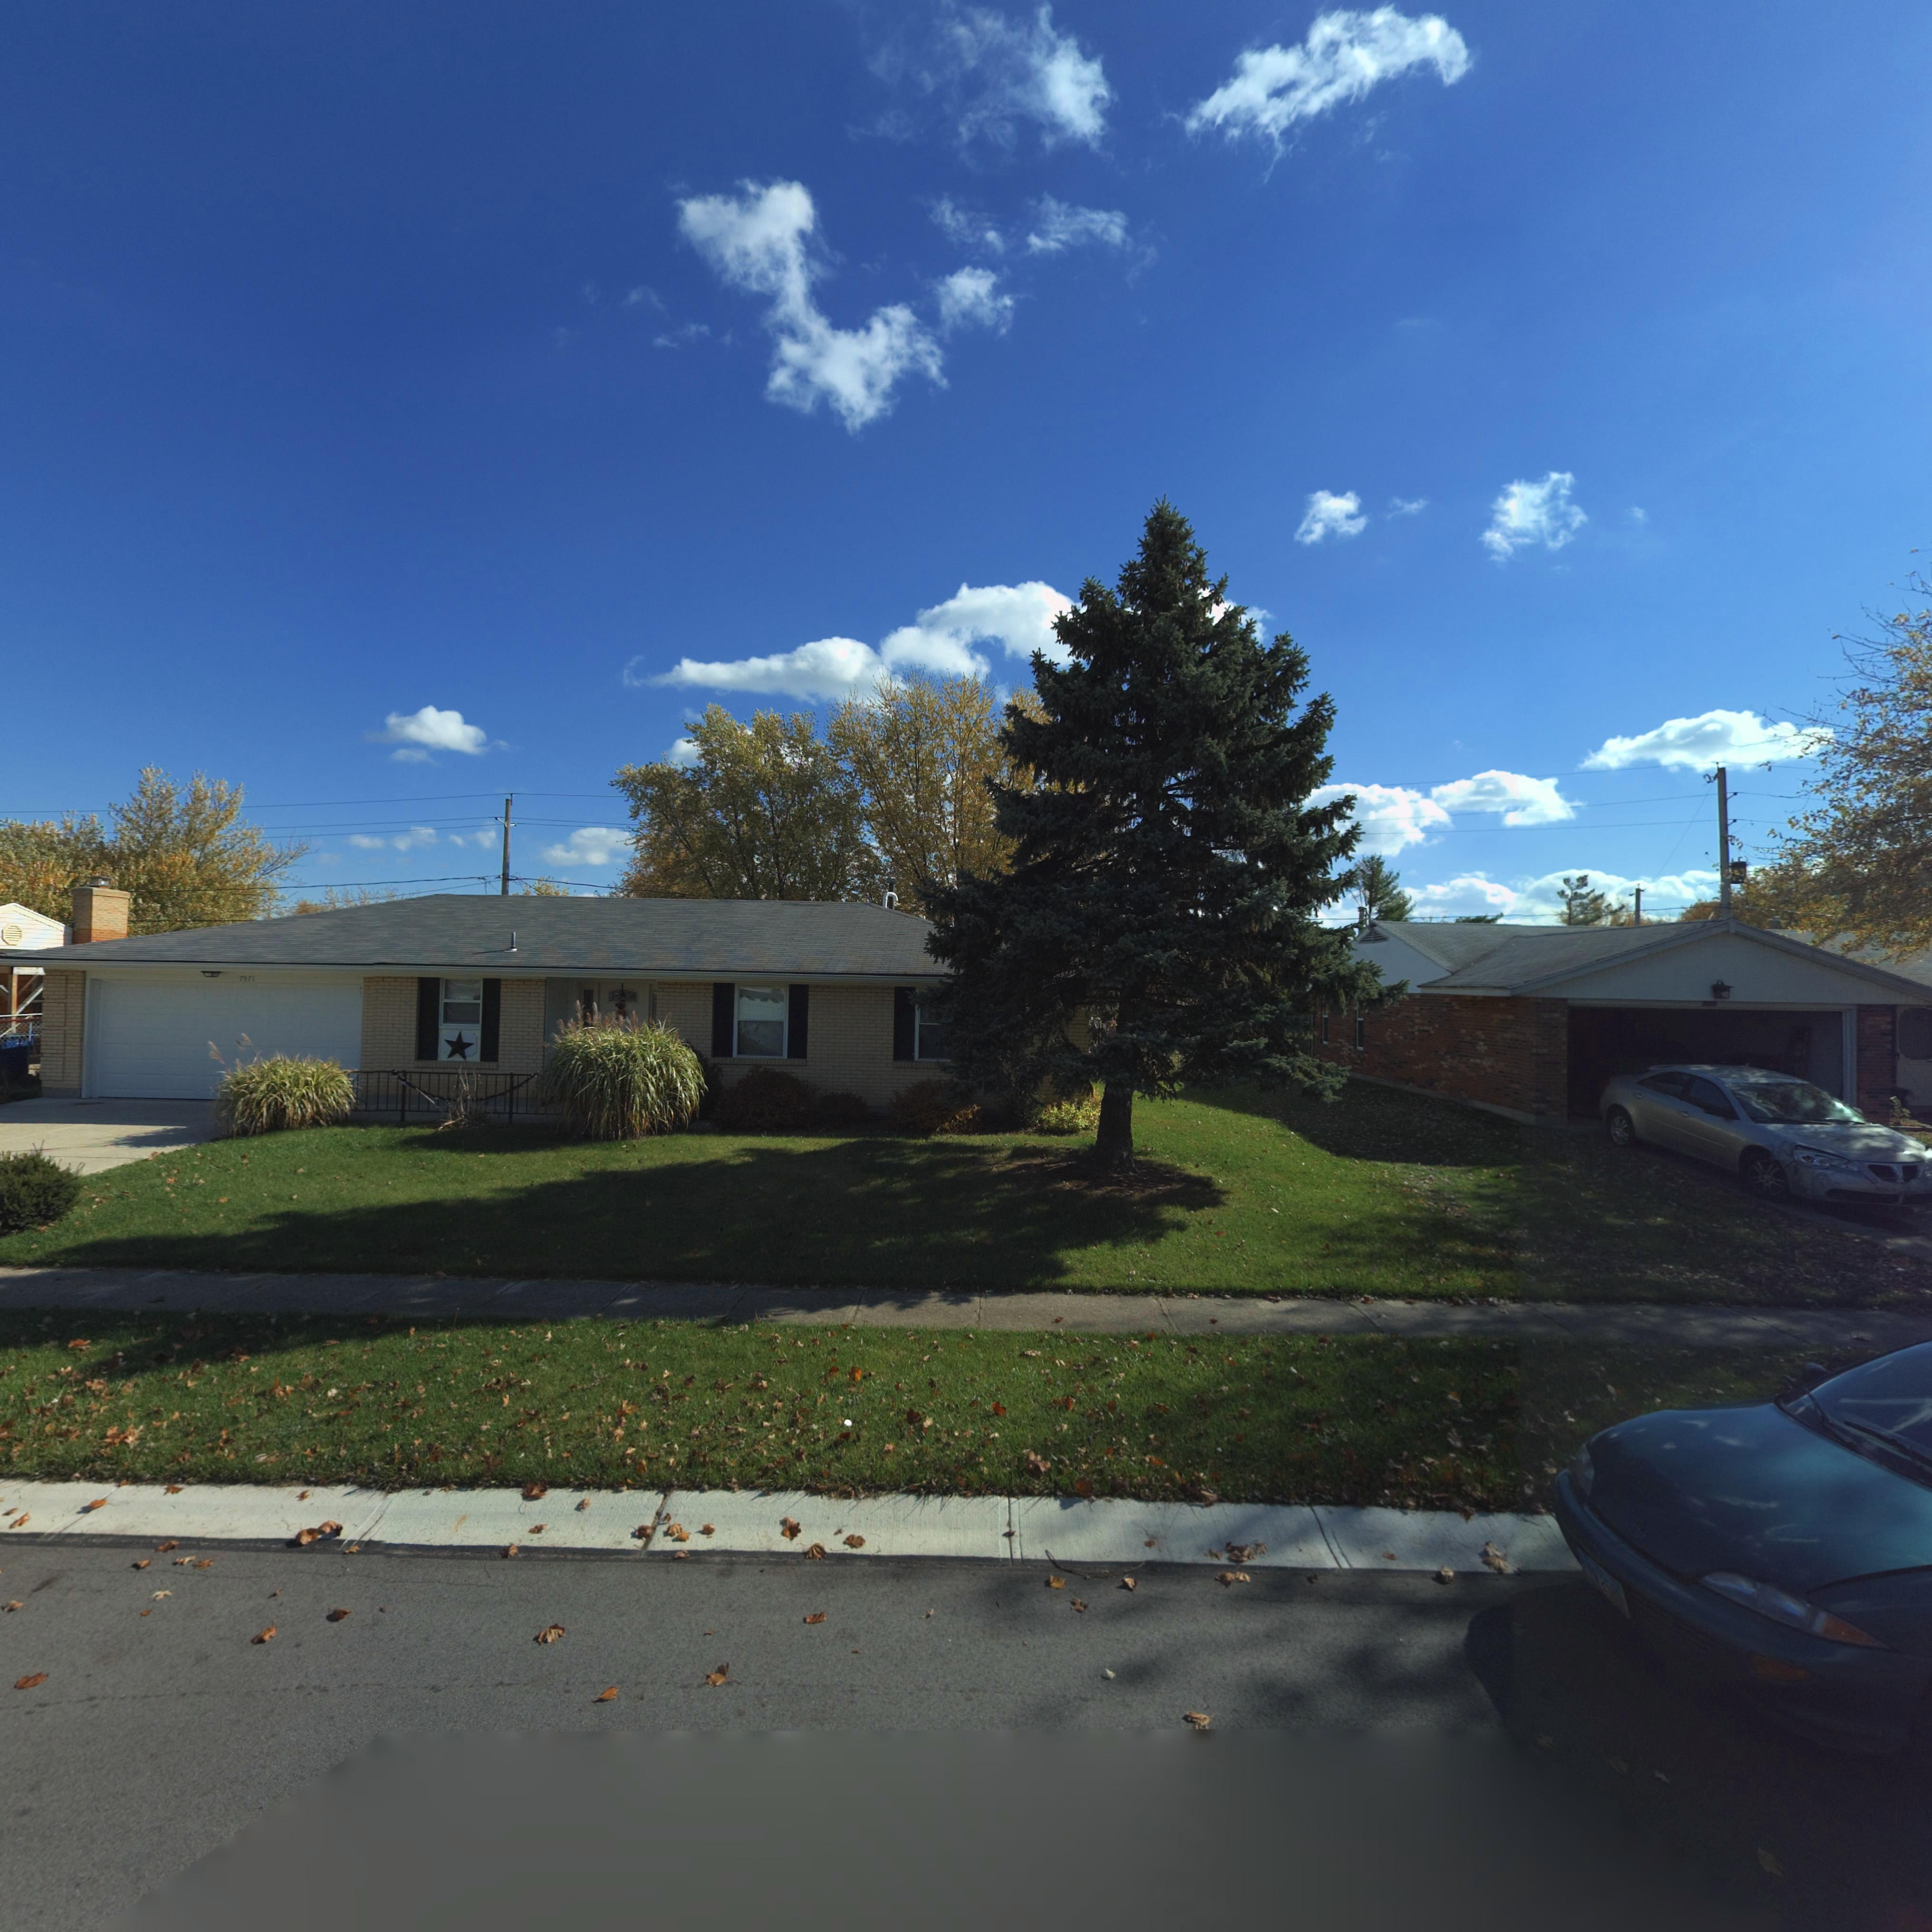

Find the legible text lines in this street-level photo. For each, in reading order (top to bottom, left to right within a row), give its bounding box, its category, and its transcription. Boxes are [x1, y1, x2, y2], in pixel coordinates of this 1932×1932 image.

[238, 975, 256, 983] StreetNumber: 7571